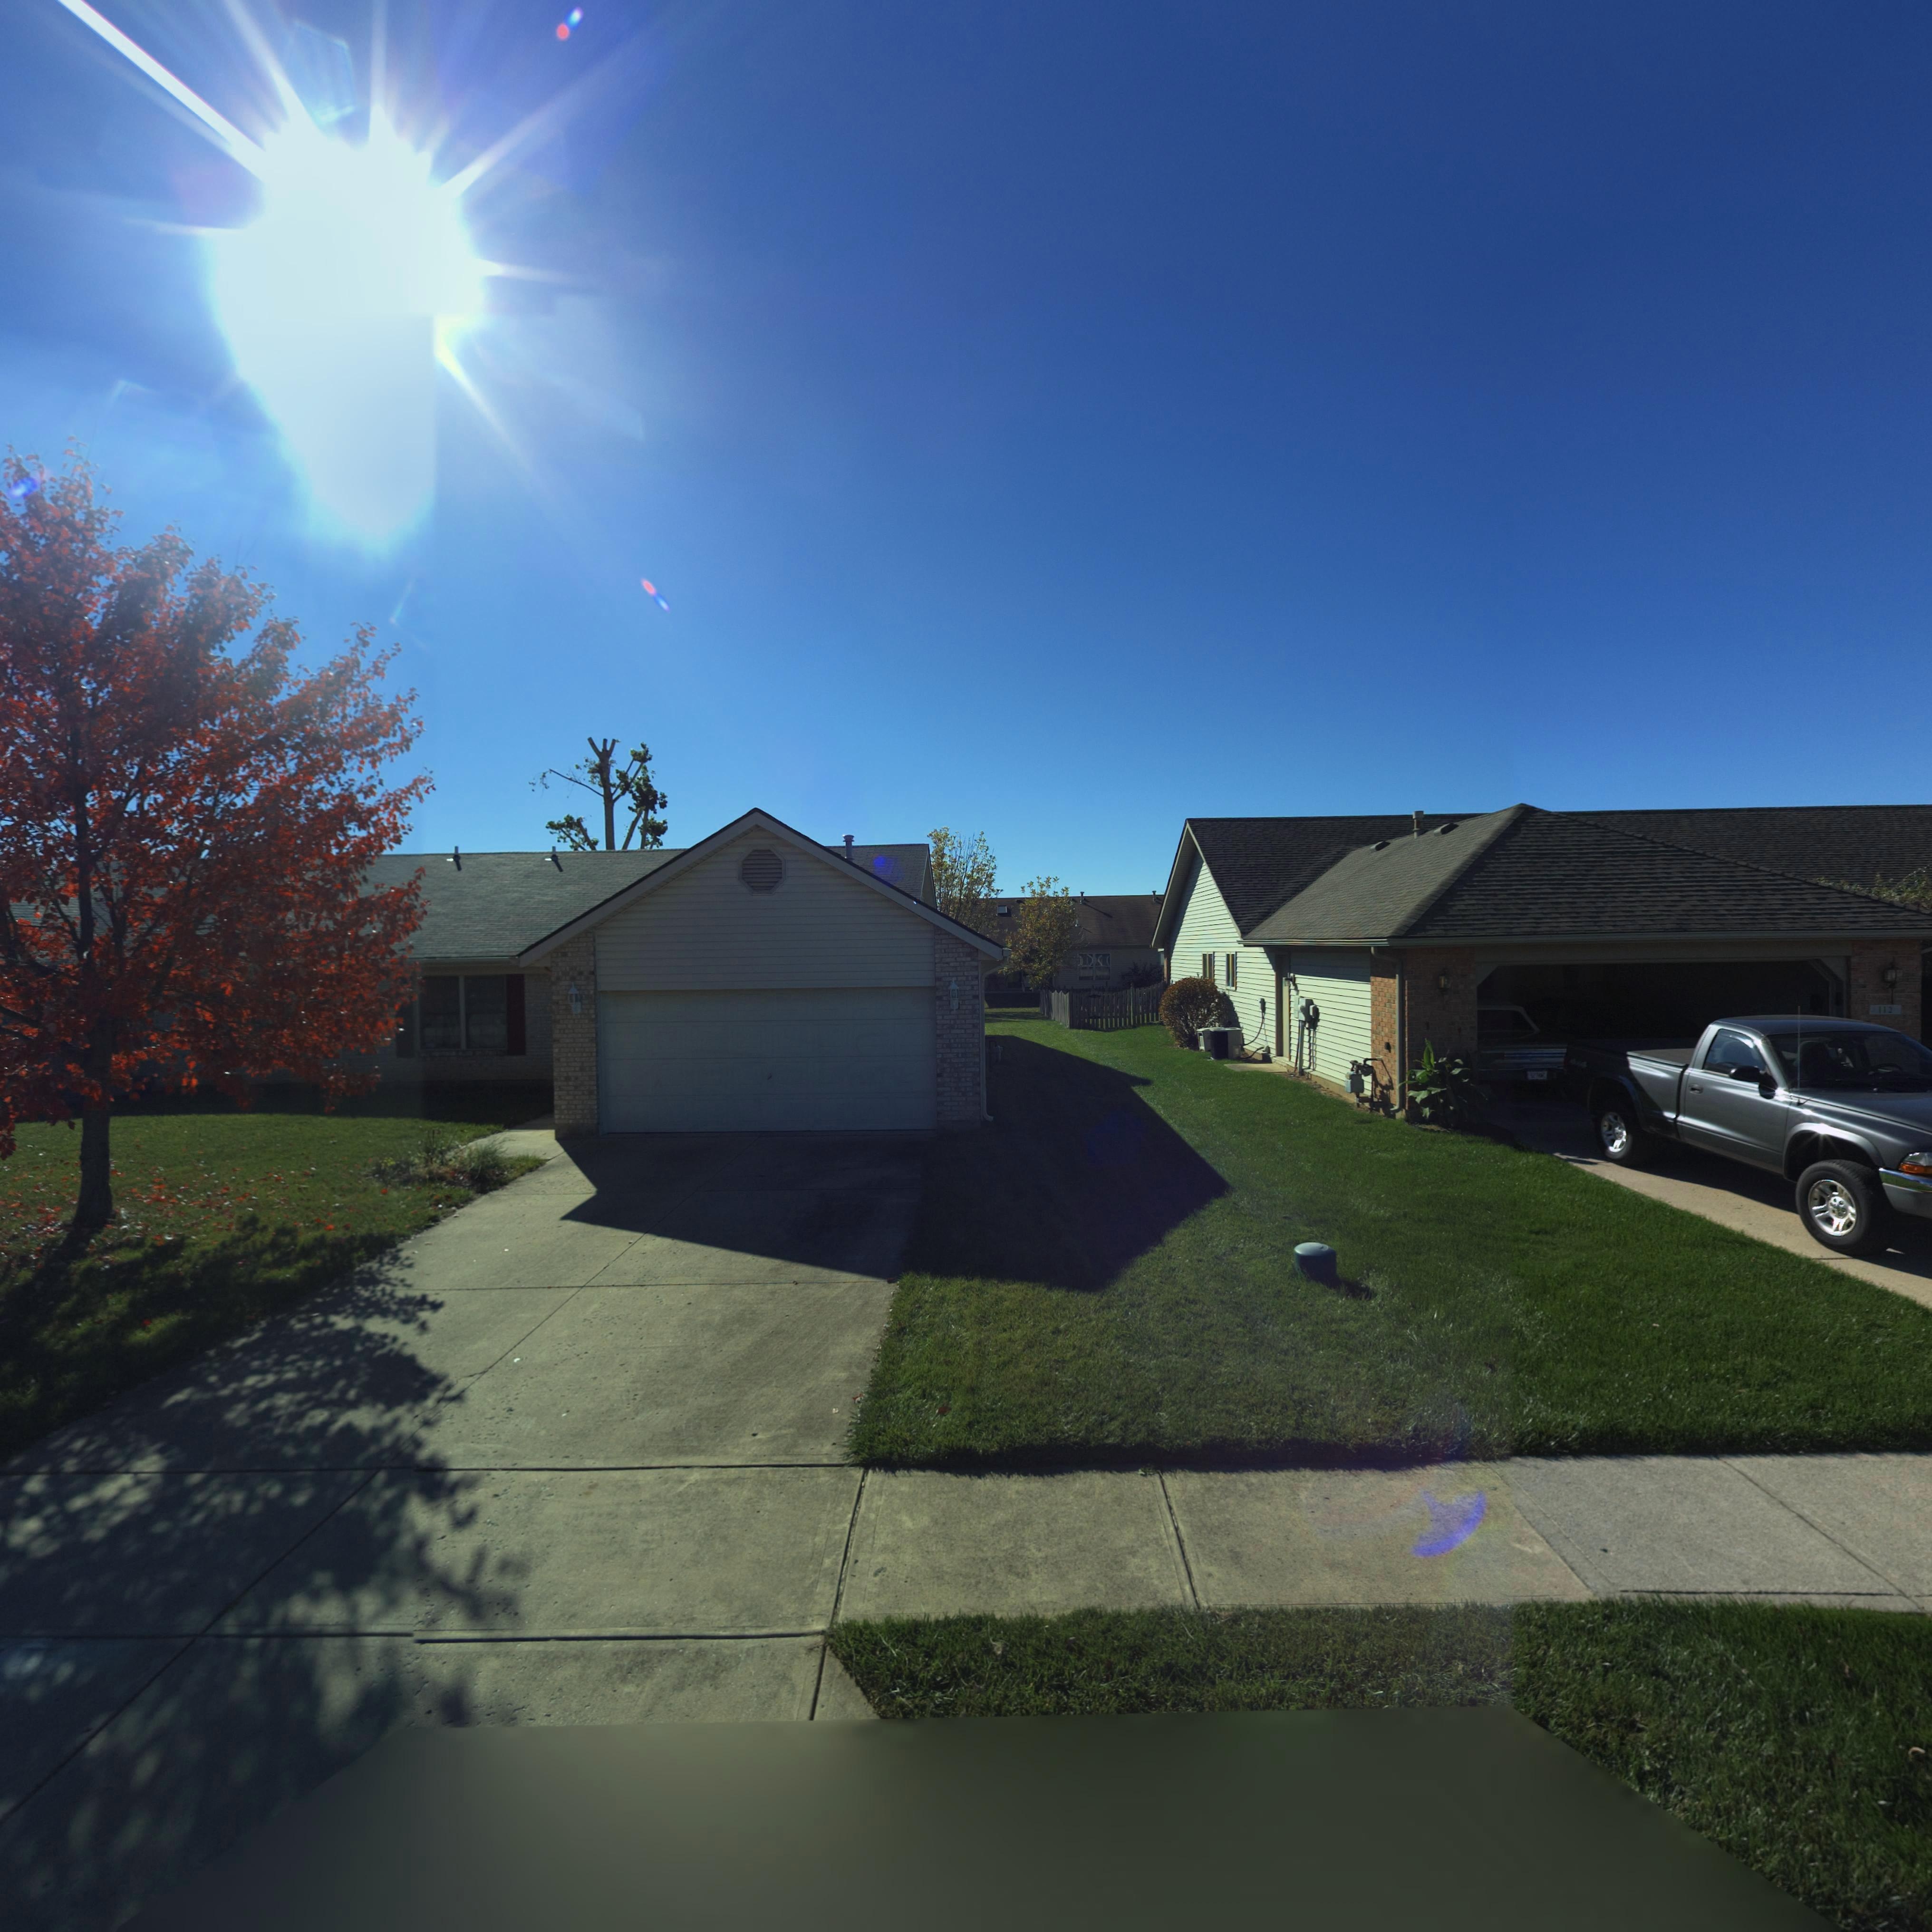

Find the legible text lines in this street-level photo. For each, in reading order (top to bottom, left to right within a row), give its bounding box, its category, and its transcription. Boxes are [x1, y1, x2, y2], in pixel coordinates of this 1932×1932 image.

[1878, 1005, 1893, 1014] StreetNumber: 112